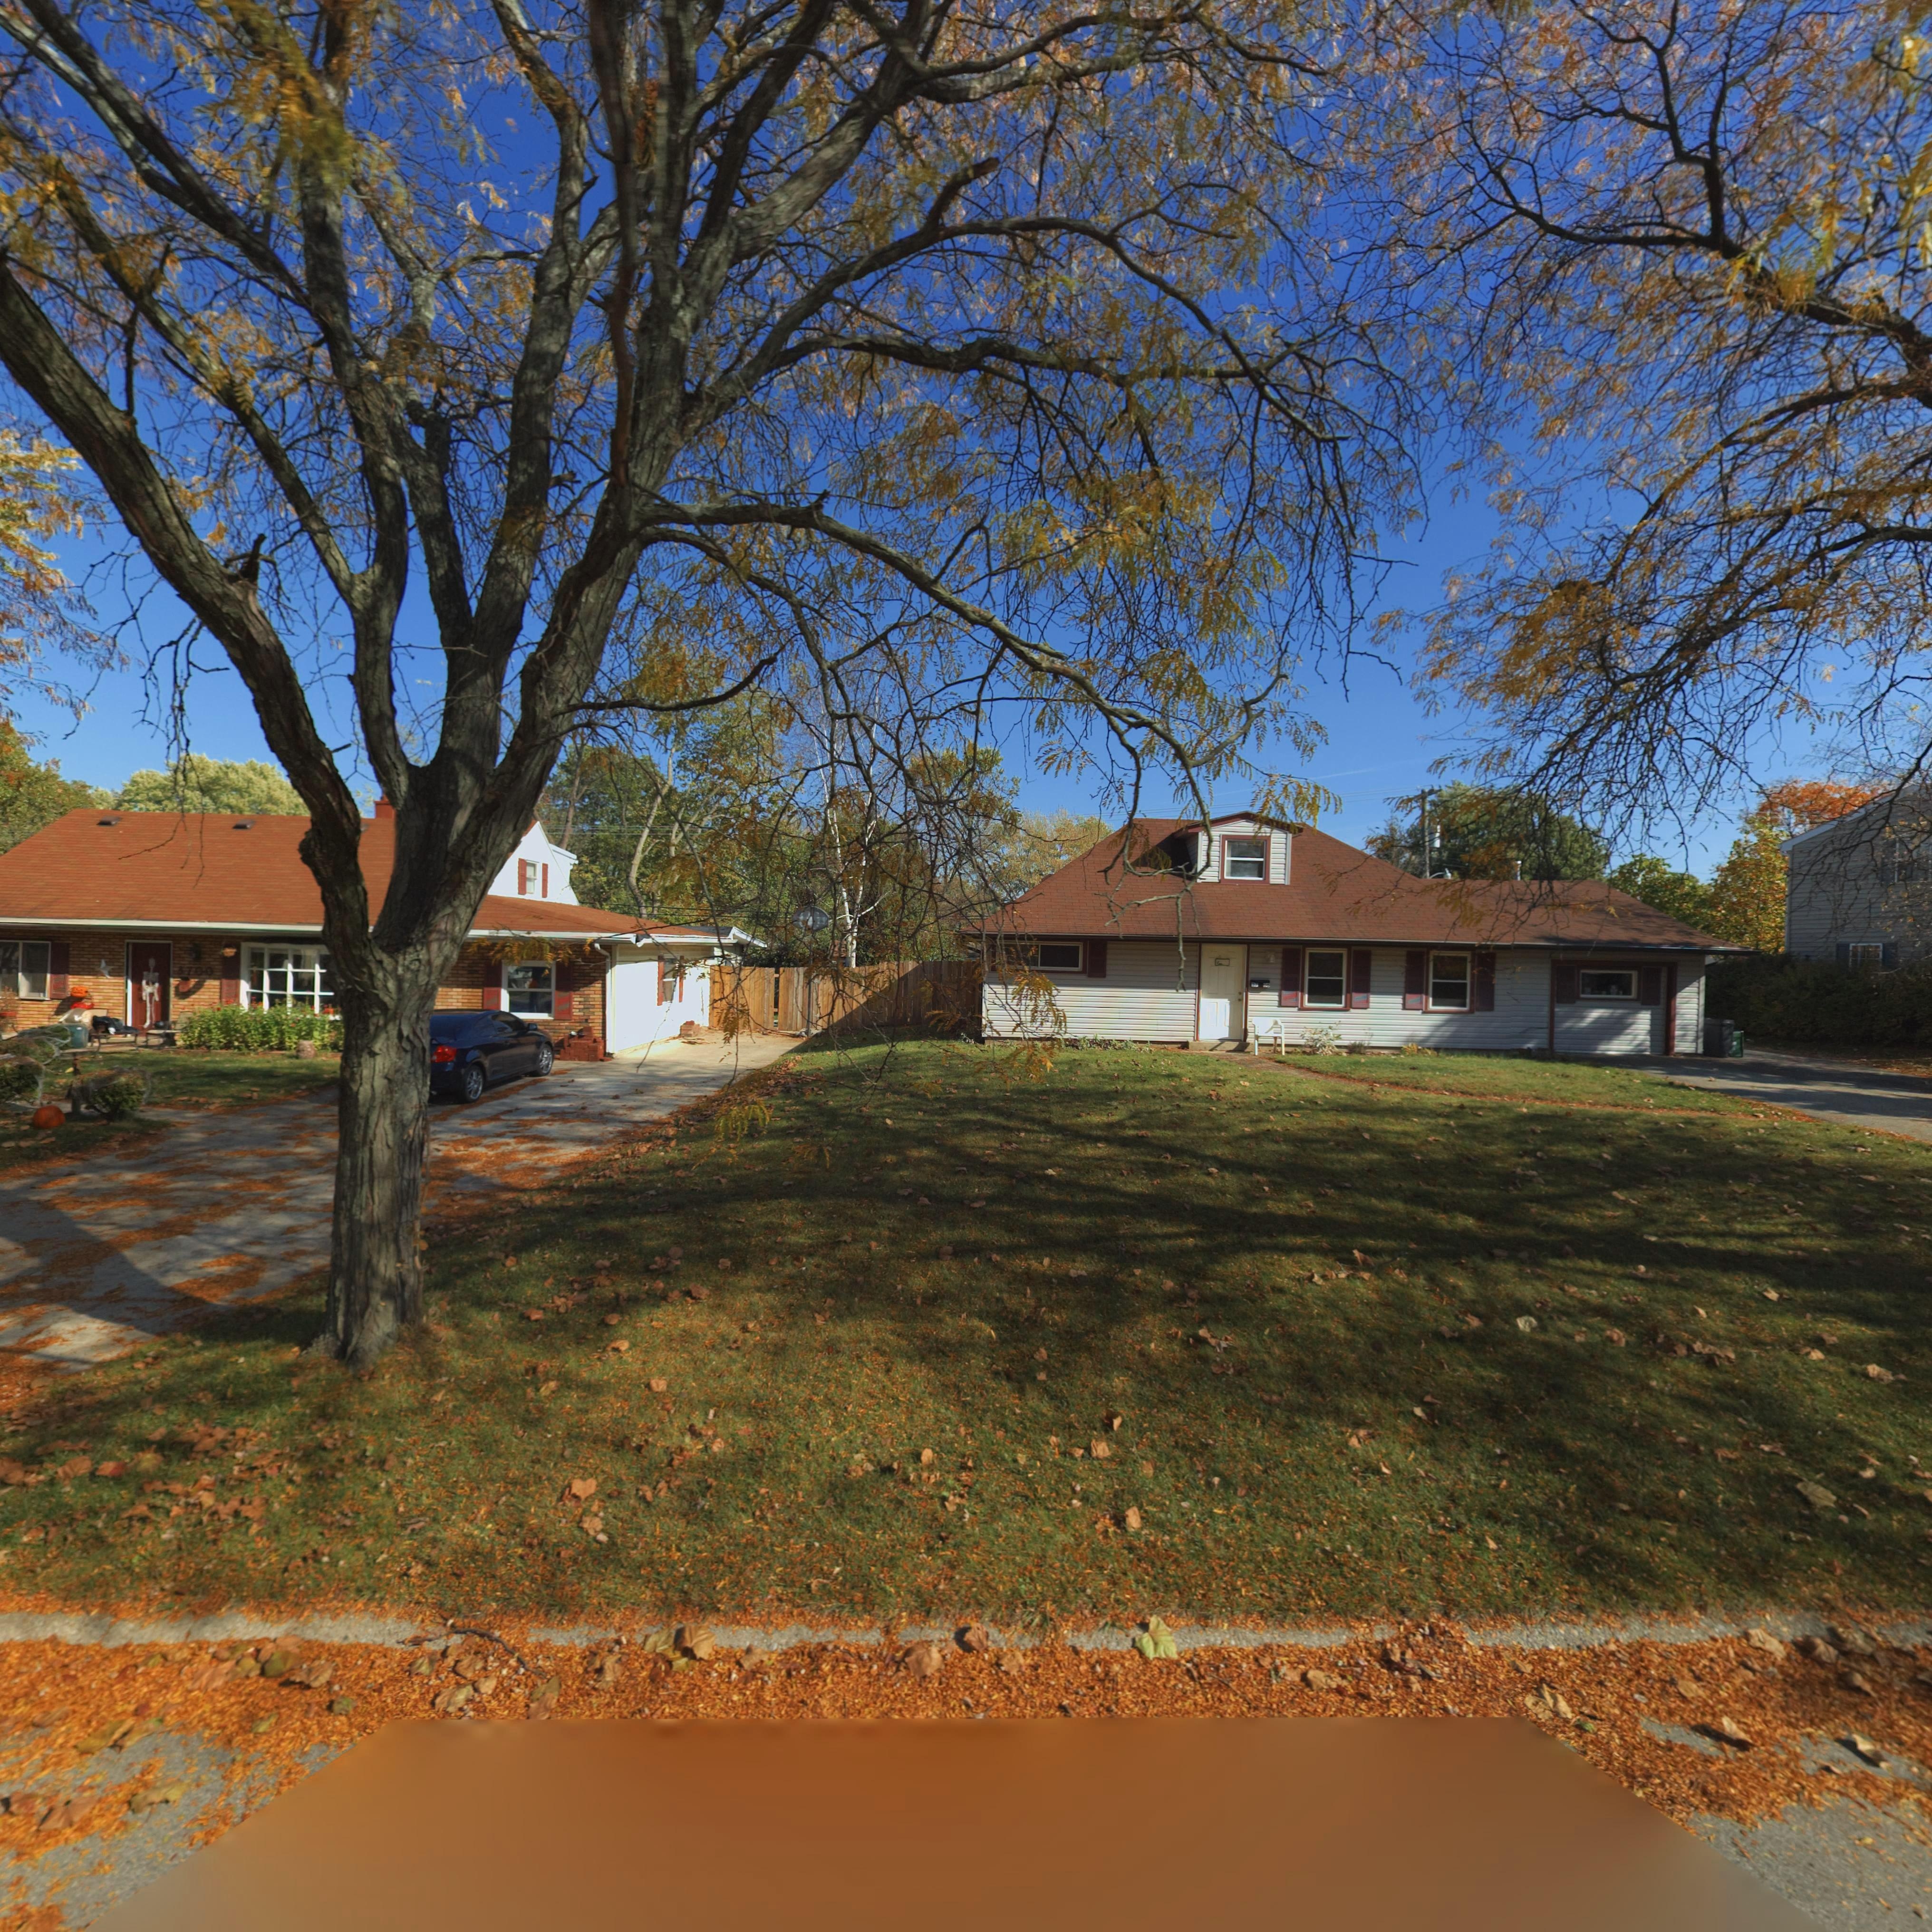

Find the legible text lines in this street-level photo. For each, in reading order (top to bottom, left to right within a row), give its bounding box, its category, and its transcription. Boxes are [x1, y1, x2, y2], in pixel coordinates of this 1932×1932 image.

[175, 964, 215, 977] StreetNumber: 3700